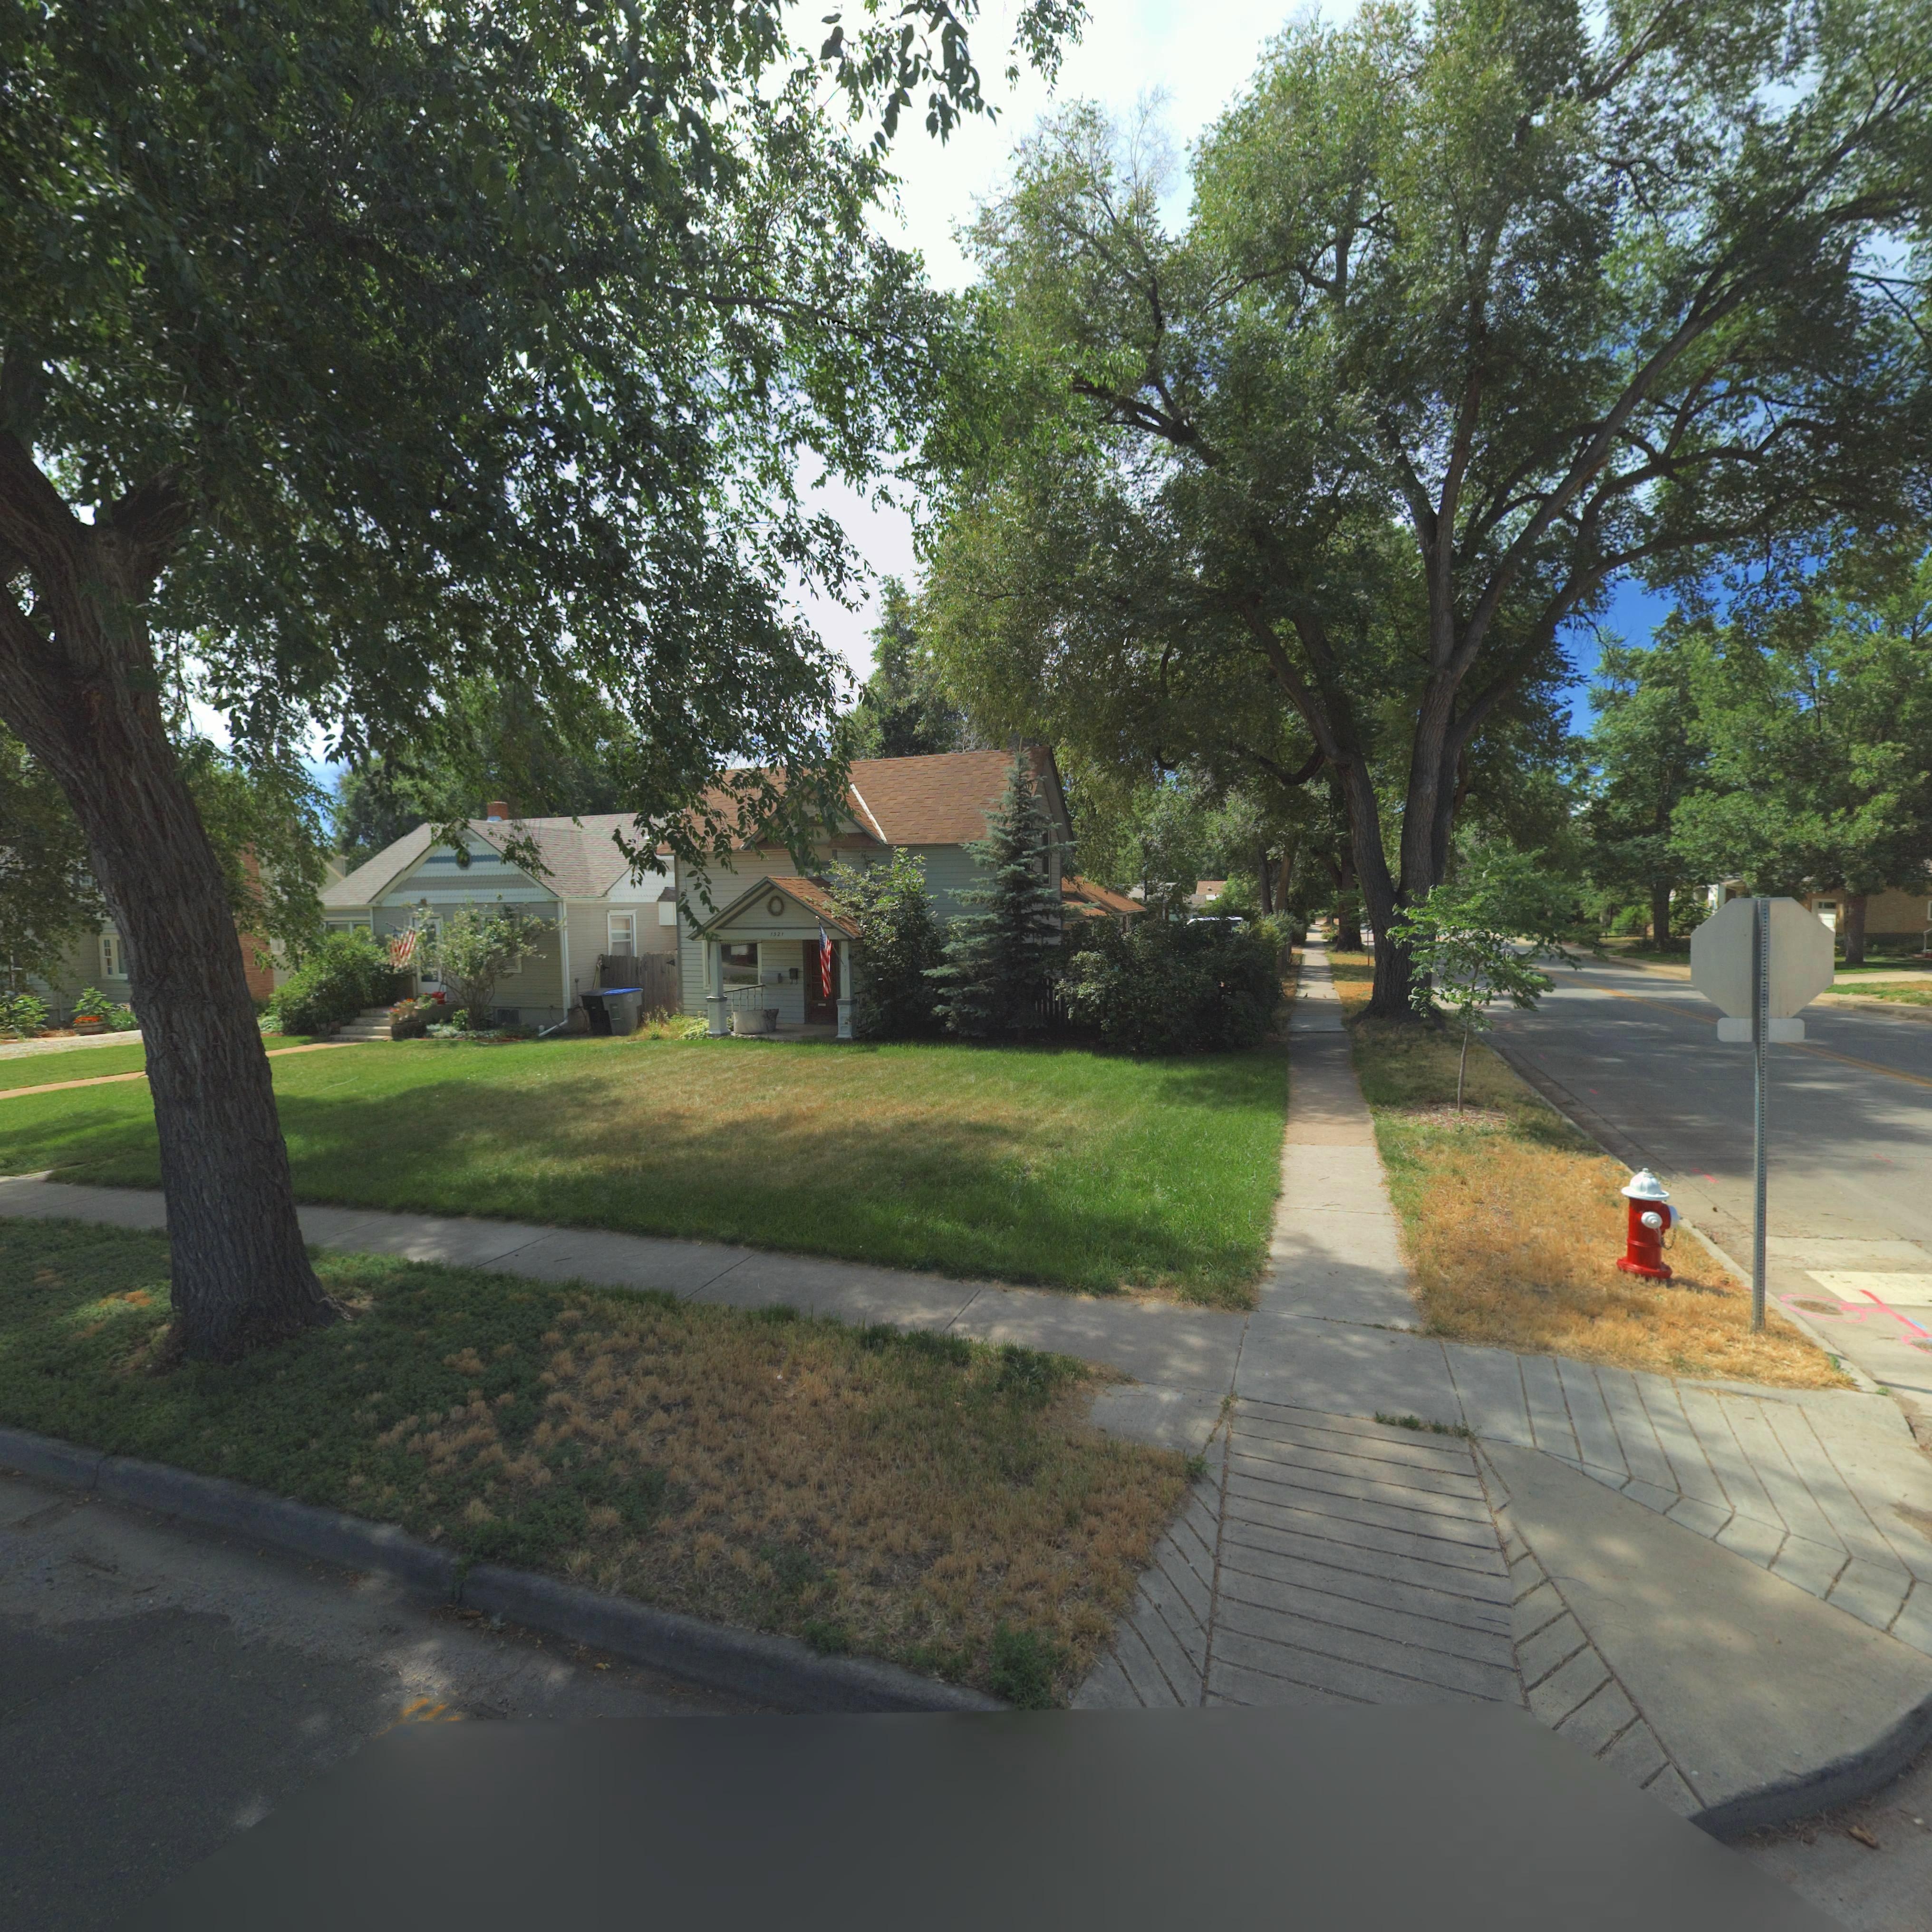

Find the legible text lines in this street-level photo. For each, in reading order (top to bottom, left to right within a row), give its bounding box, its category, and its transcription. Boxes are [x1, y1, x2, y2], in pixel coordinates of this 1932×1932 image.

[770, 932, 783, 936] StreetNumber: 1*21